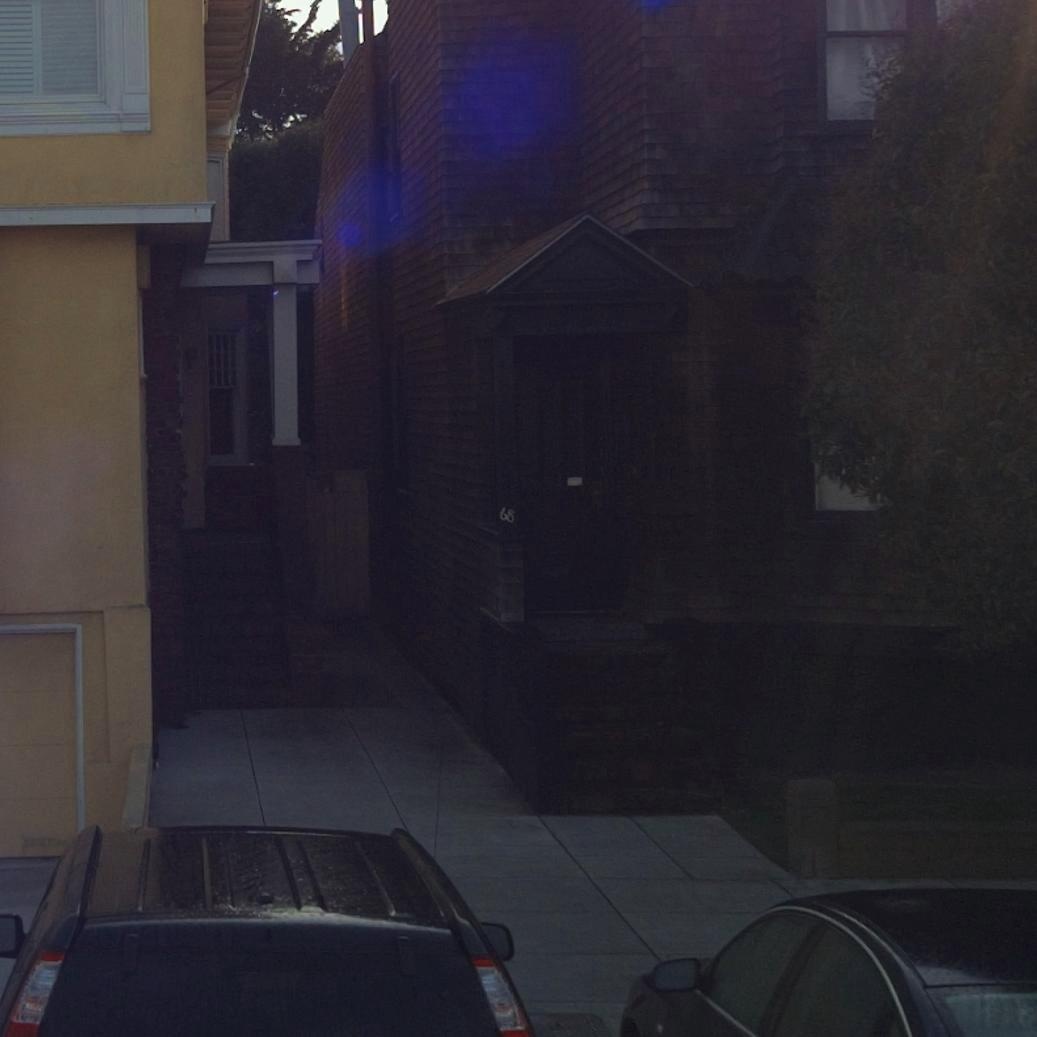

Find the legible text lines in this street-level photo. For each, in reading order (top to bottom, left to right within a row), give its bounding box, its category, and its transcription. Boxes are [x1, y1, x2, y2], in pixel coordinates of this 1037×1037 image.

[497, 504, 518, 526] StreetNumber: 68